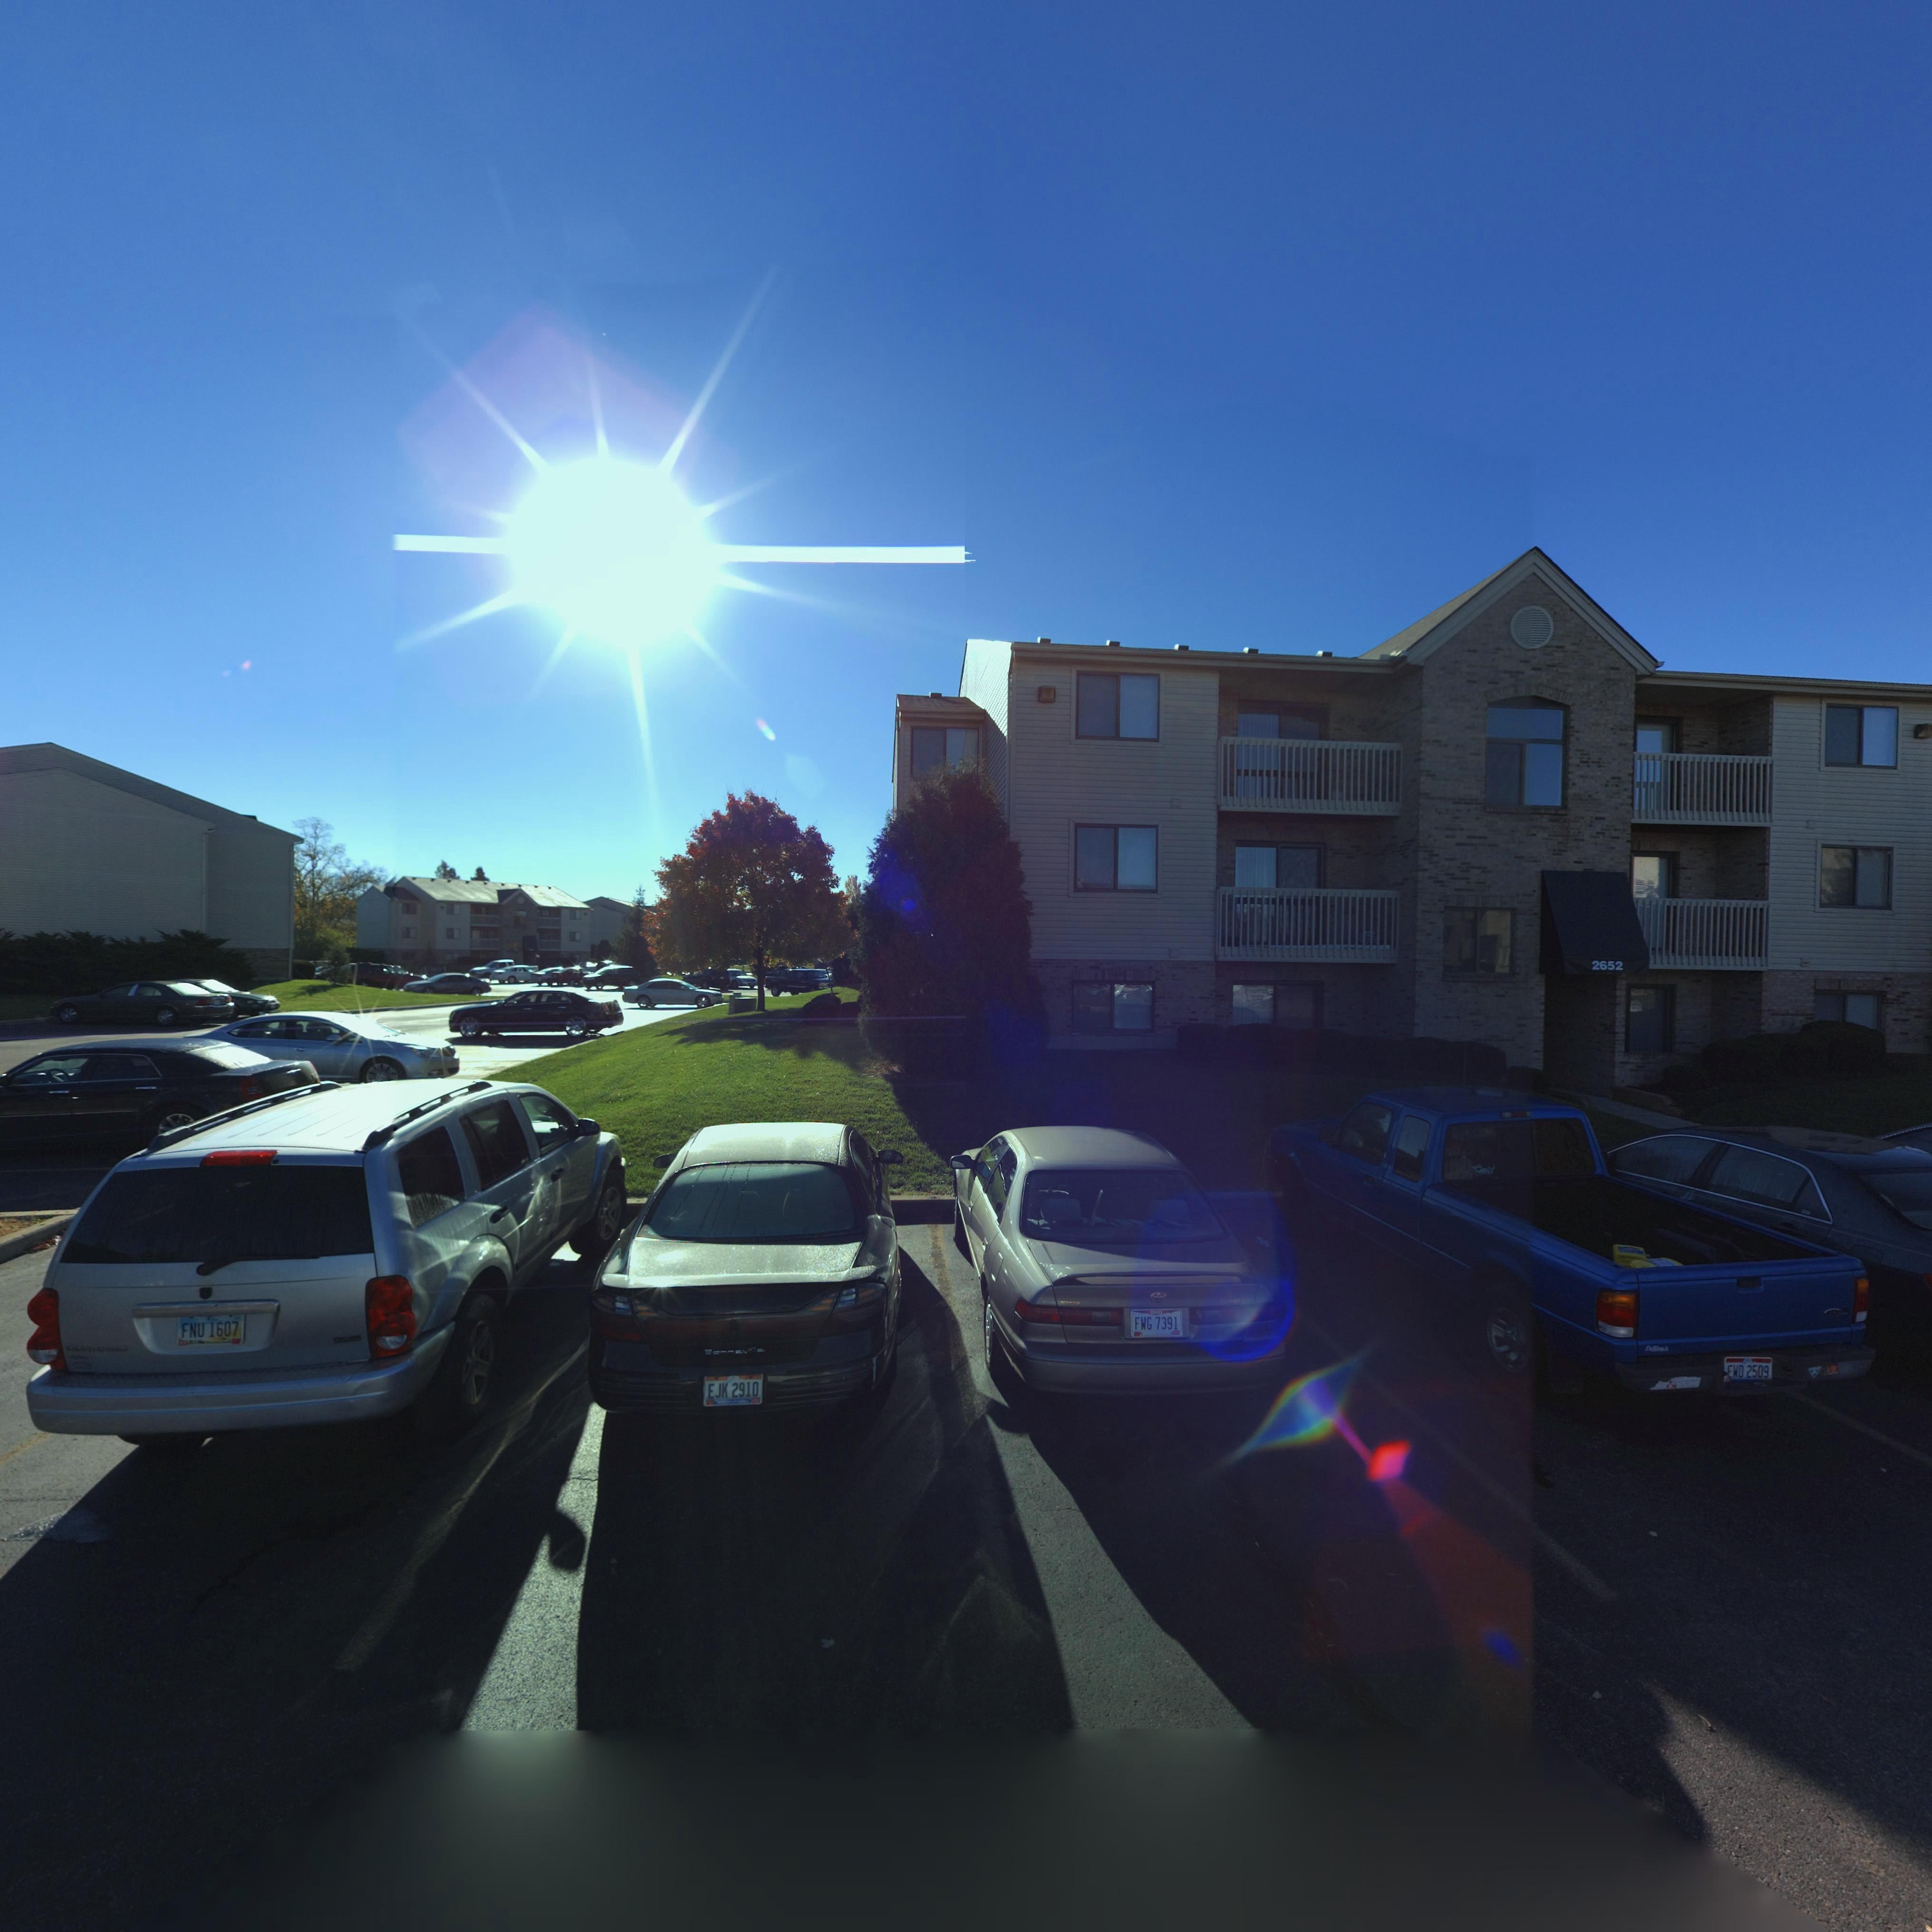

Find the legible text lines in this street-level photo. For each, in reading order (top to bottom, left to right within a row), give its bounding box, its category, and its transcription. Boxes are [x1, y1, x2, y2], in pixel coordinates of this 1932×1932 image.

[1591, 959, 1624, 972] StreetNumber: 2652